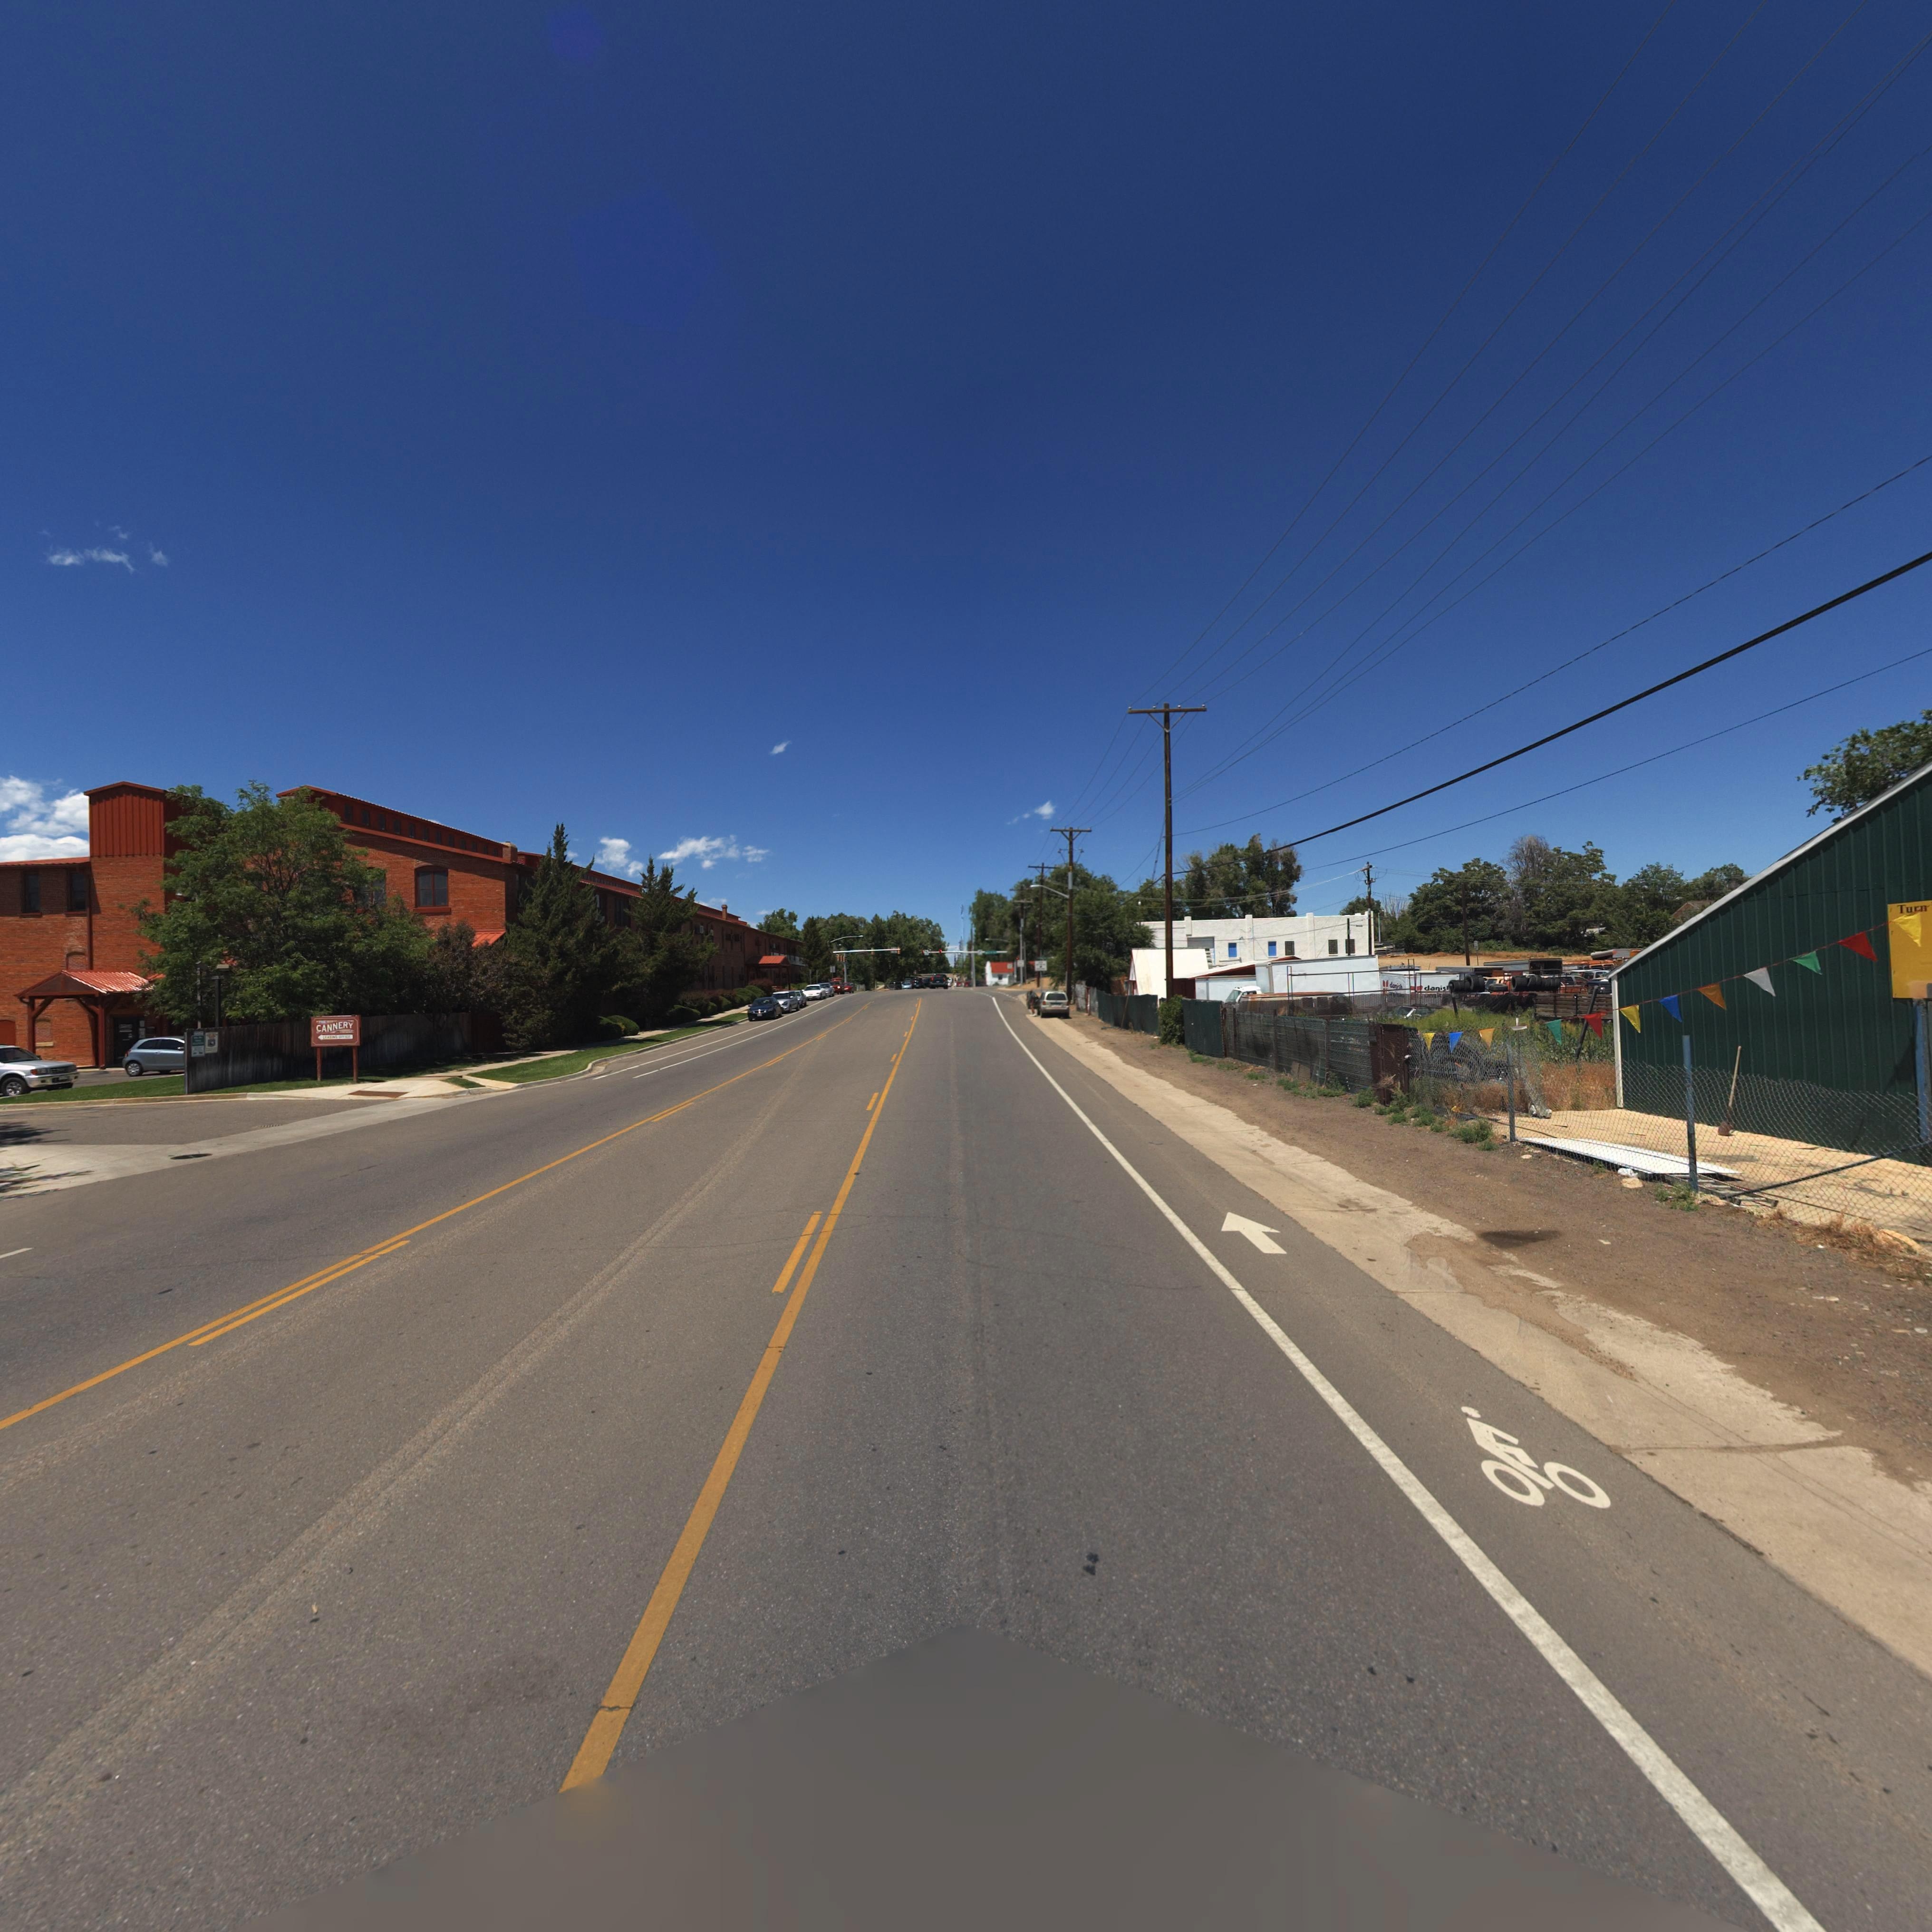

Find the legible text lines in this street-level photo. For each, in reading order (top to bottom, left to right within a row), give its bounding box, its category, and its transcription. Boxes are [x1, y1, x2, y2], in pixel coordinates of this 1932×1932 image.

[317, 1020, 326, 1024] BusinessName: TH*
[118, 1024, 133, 1029] BusinessName: C******
[315, 1021, 354, 1033] BusinessName: CANNERY